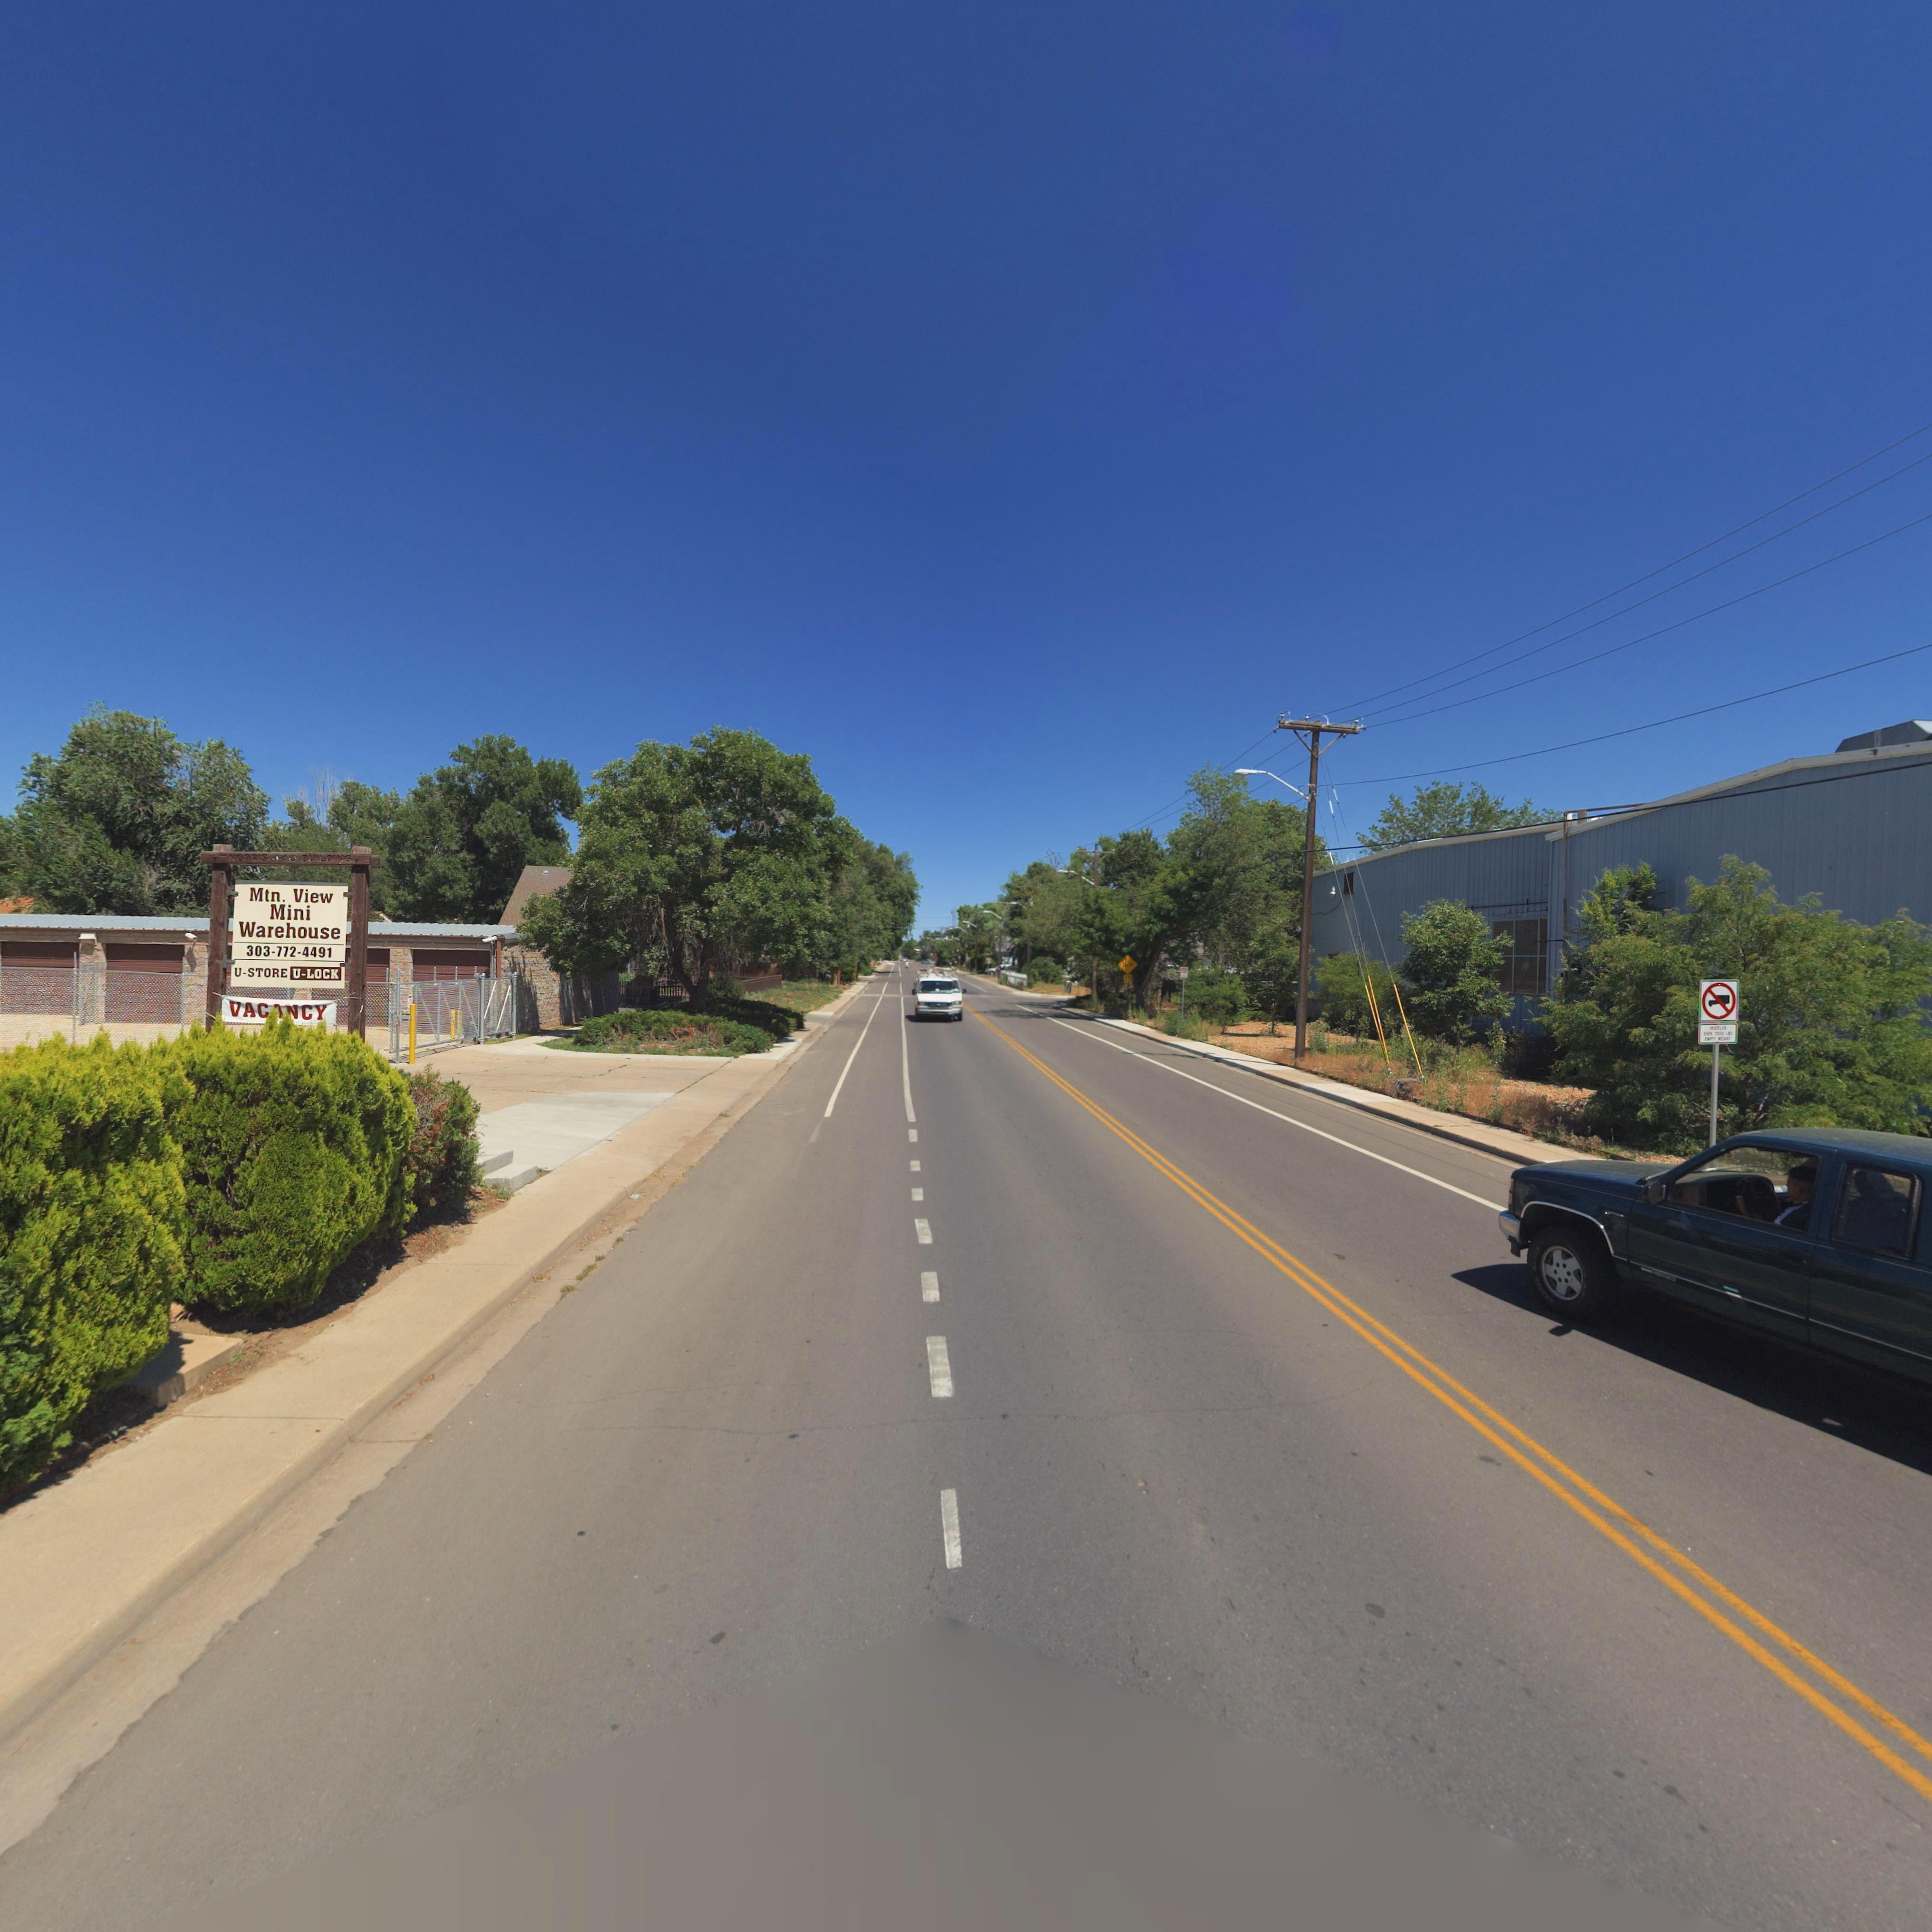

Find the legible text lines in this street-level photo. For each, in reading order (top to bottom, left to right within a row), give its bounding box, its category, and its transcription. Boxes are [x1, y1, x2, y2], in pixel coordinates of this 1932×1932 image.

[271, 853, 298, 863] StreetNumber: 440
[249, 887, 334, 903] BusinessName: Mtn. View
[269, 903, 311, 921] BusinessName: Mini
[239, 921, 340, 940] BusinessName: Warehouse